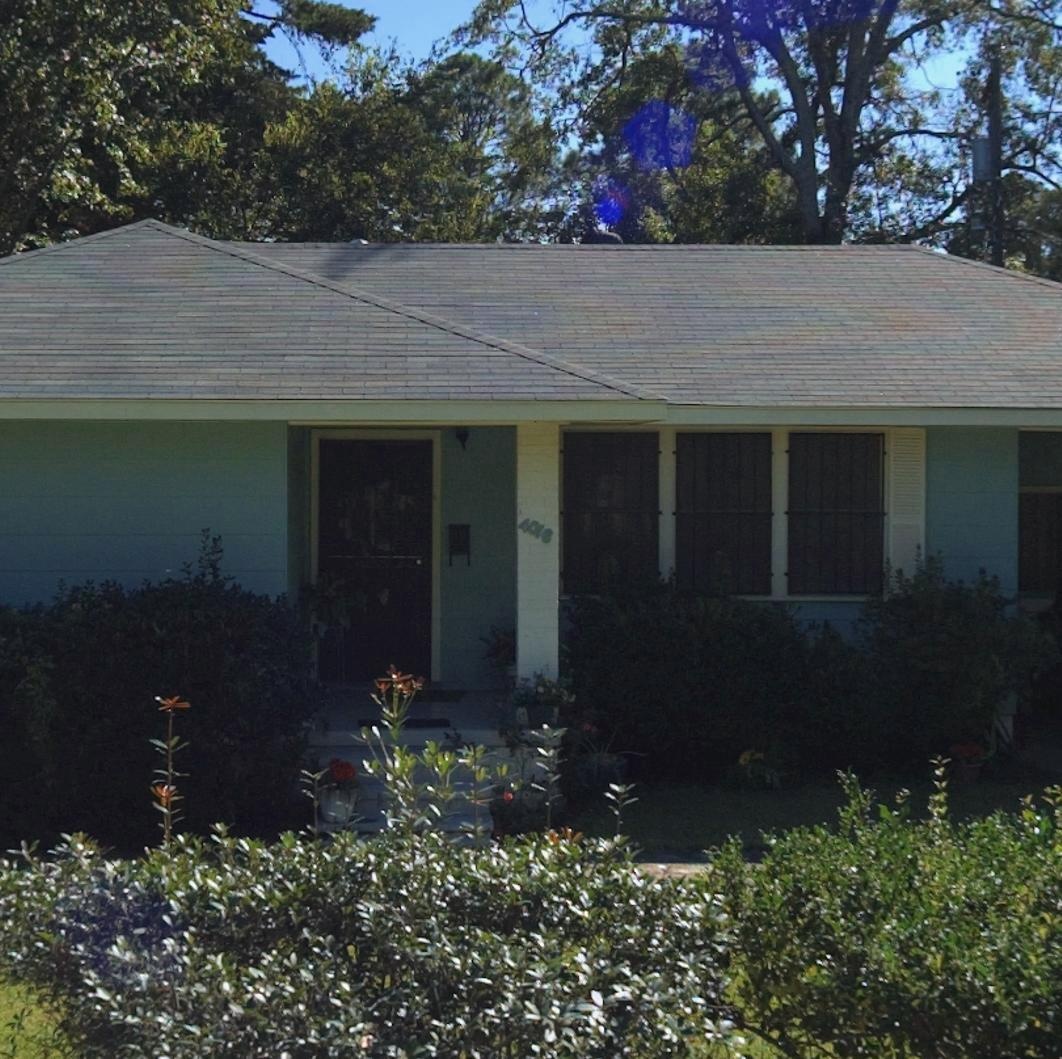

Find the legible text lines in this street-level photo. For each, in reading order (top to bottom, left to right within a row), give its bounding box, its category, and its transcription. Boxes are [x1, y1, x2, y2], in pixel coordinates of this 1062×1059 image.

[514, 515, 555, 547] StreetNumber: 4016